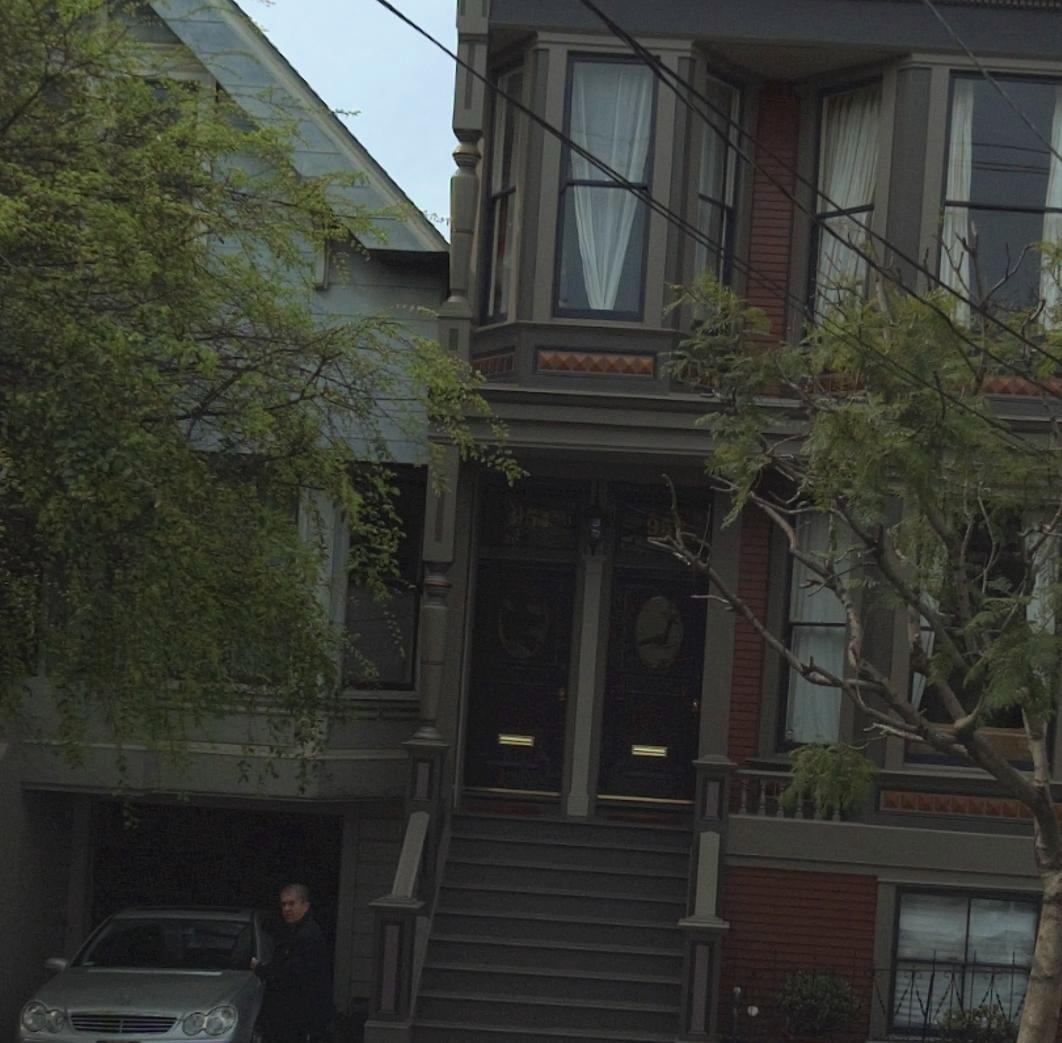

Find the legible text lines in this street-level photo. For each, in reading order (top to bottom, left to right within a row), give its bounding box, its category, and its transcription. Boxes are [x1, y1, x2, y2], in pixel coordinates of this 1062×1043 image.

[505, 504, 552, 531] StreetNumber: 954
[645, 515, 672, 536] StreetNumber: 95